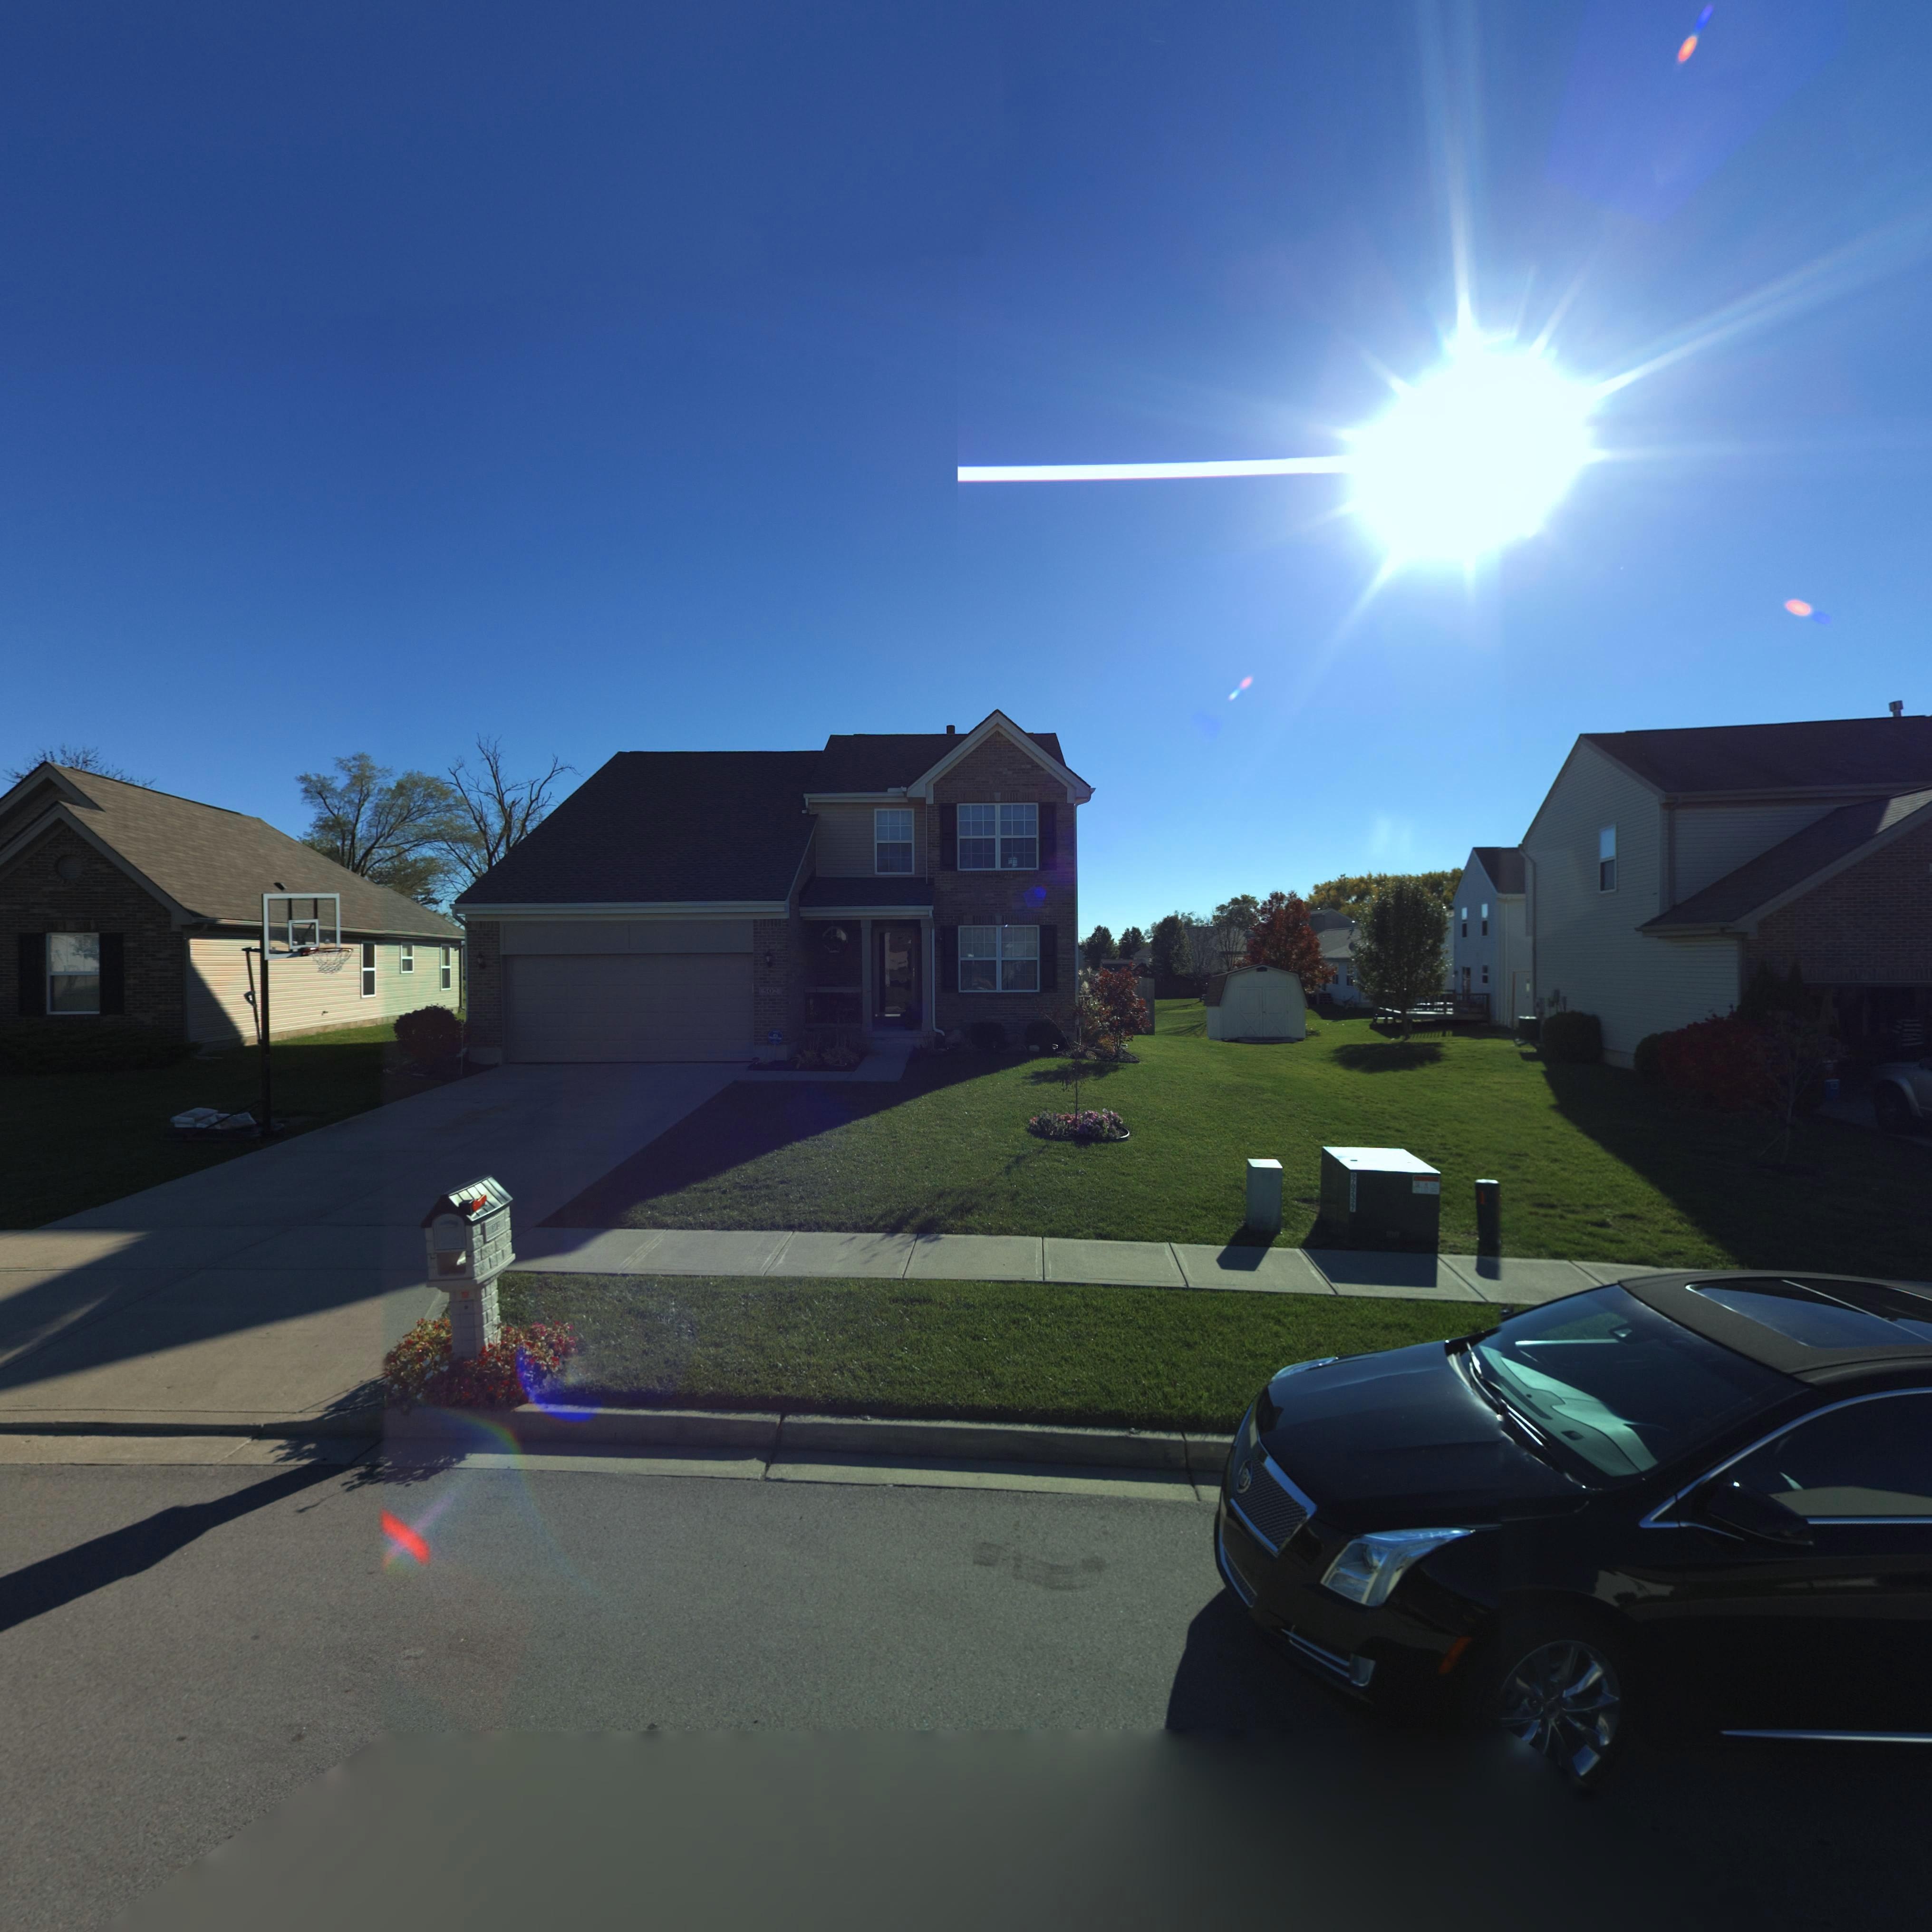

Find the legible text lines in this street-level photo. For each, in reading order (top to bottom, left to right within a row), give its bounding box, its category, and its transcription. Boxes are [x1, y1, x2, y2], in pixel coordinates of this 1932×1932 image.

[763, 987, 778, 995] StreetNumber: 502
[1350, 1173, 1357, 1212] None: 970*32*